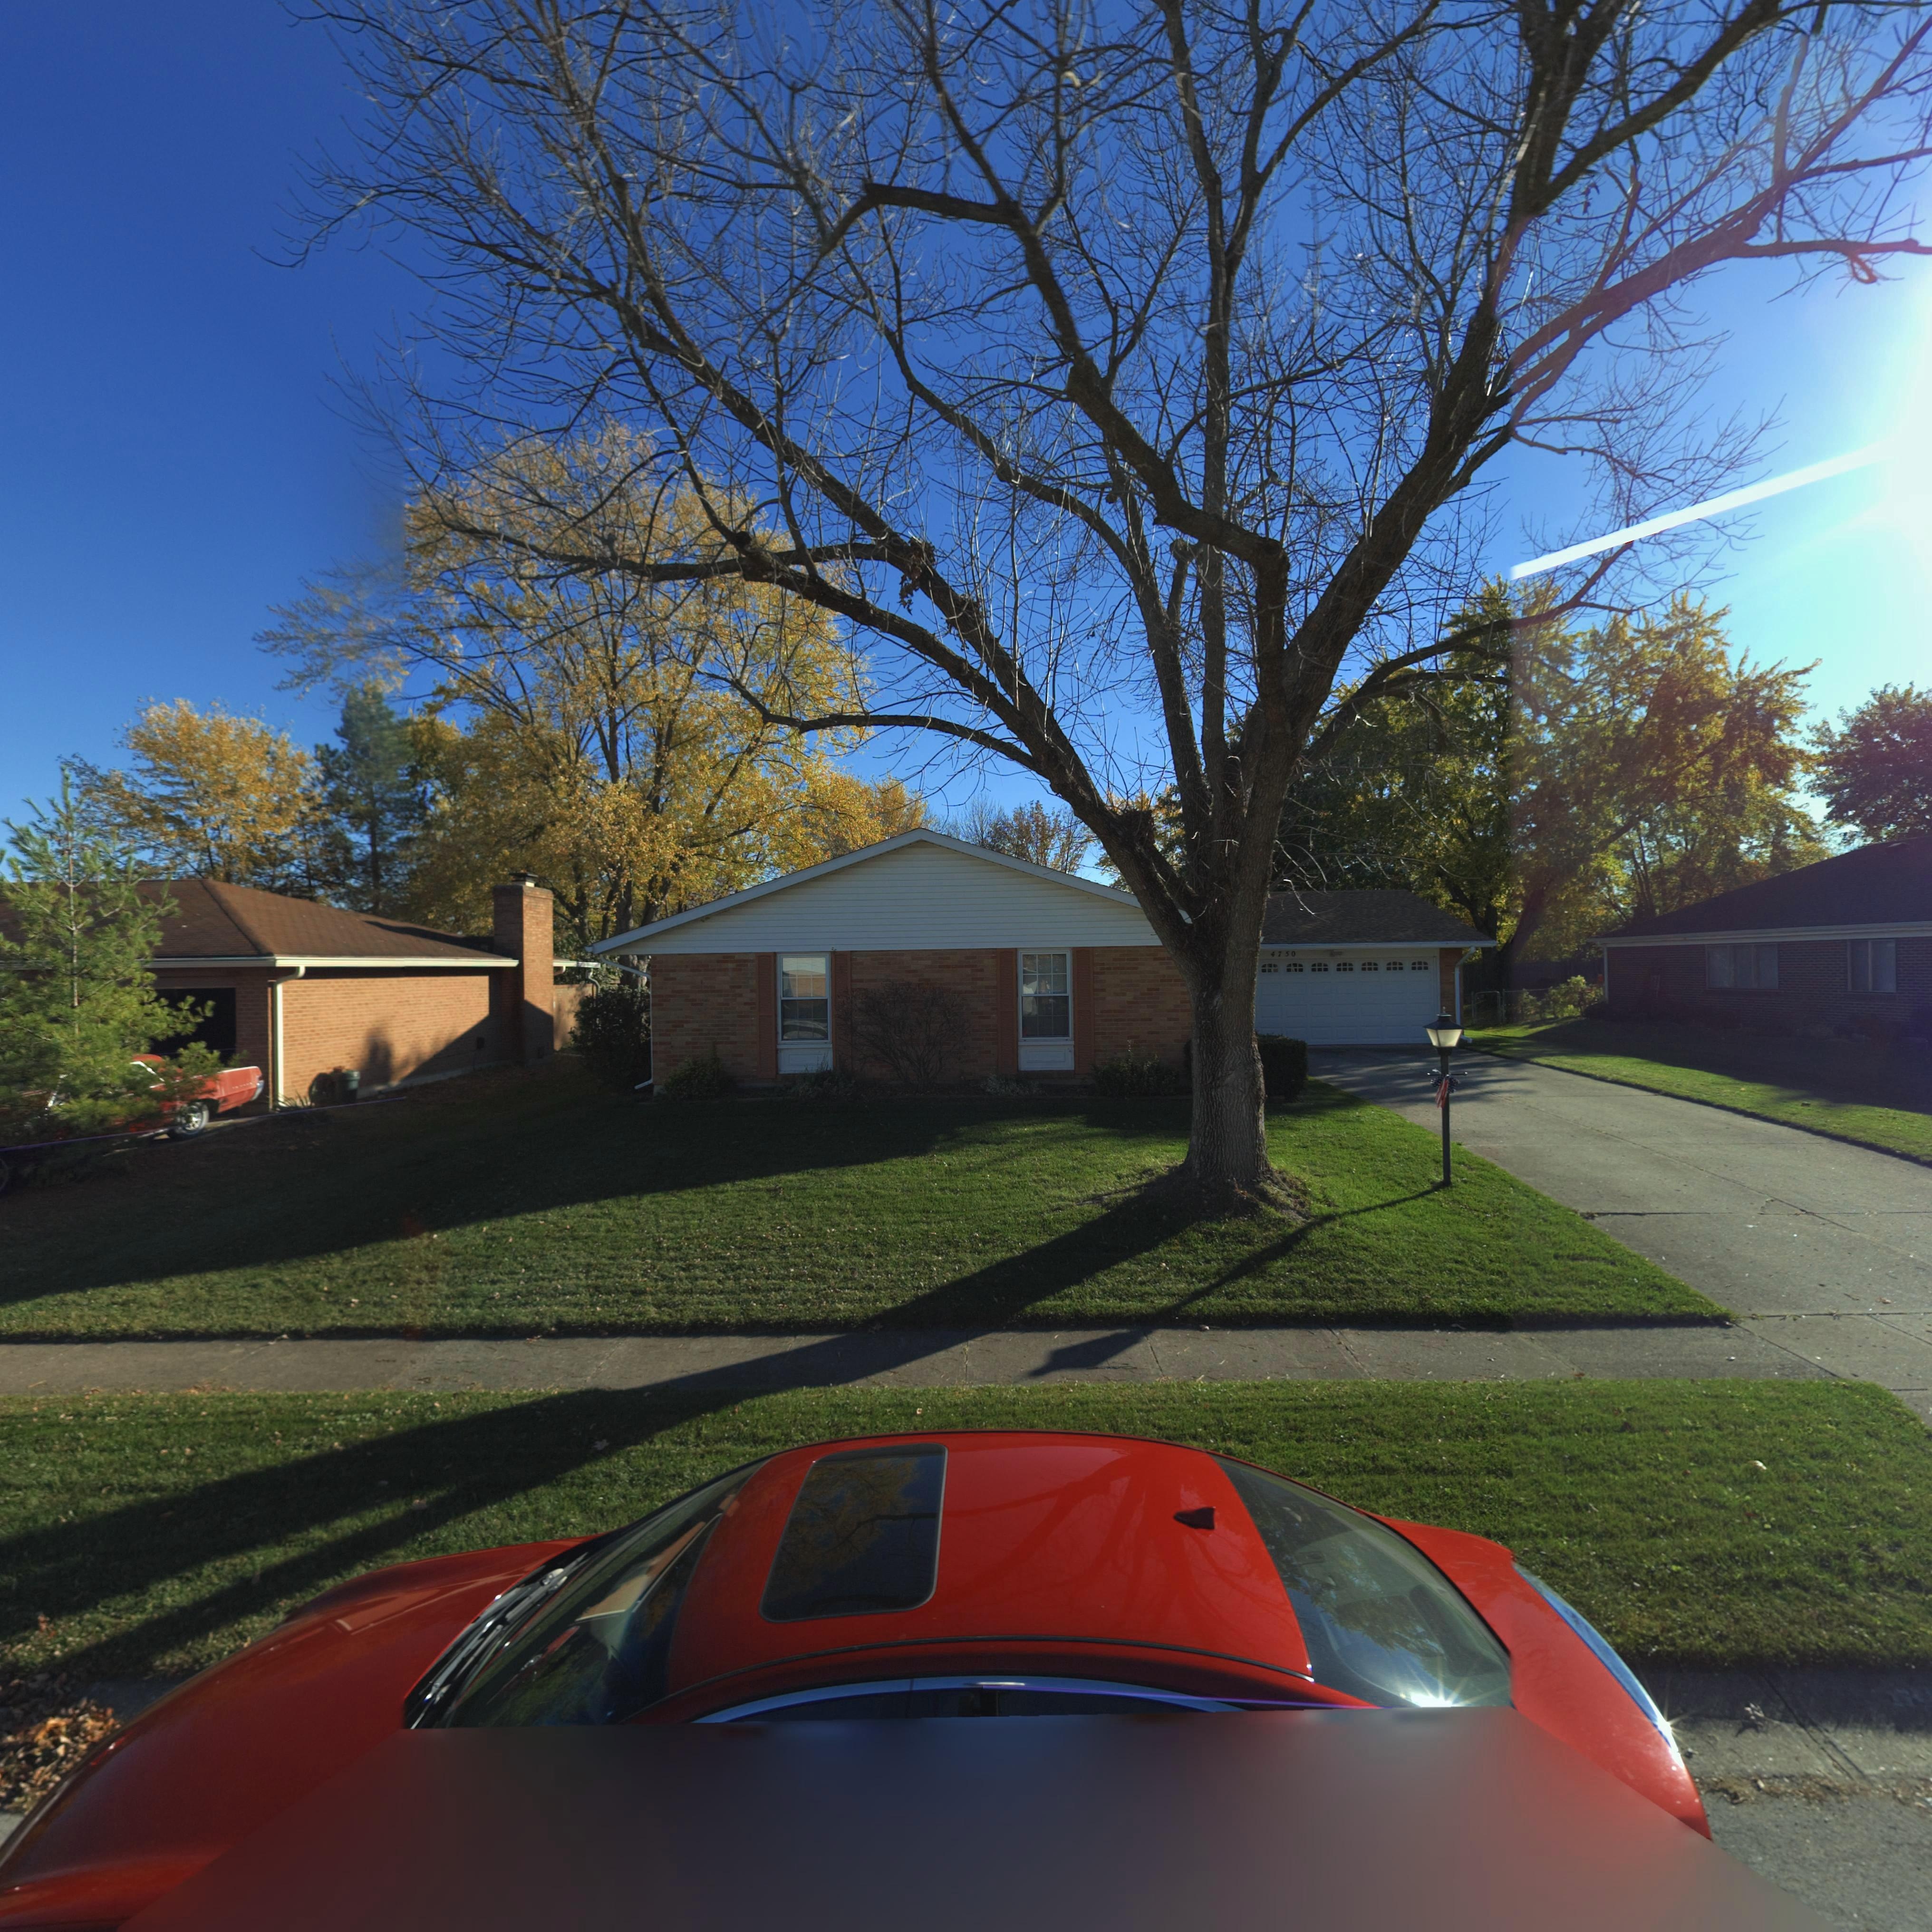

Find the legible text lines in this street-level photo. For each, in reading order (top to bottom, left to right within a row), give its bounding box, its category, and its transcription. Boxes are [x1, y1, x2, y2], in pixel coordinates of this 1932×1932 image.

[1269, 950, 1297, 958] StreetNumber: 4750